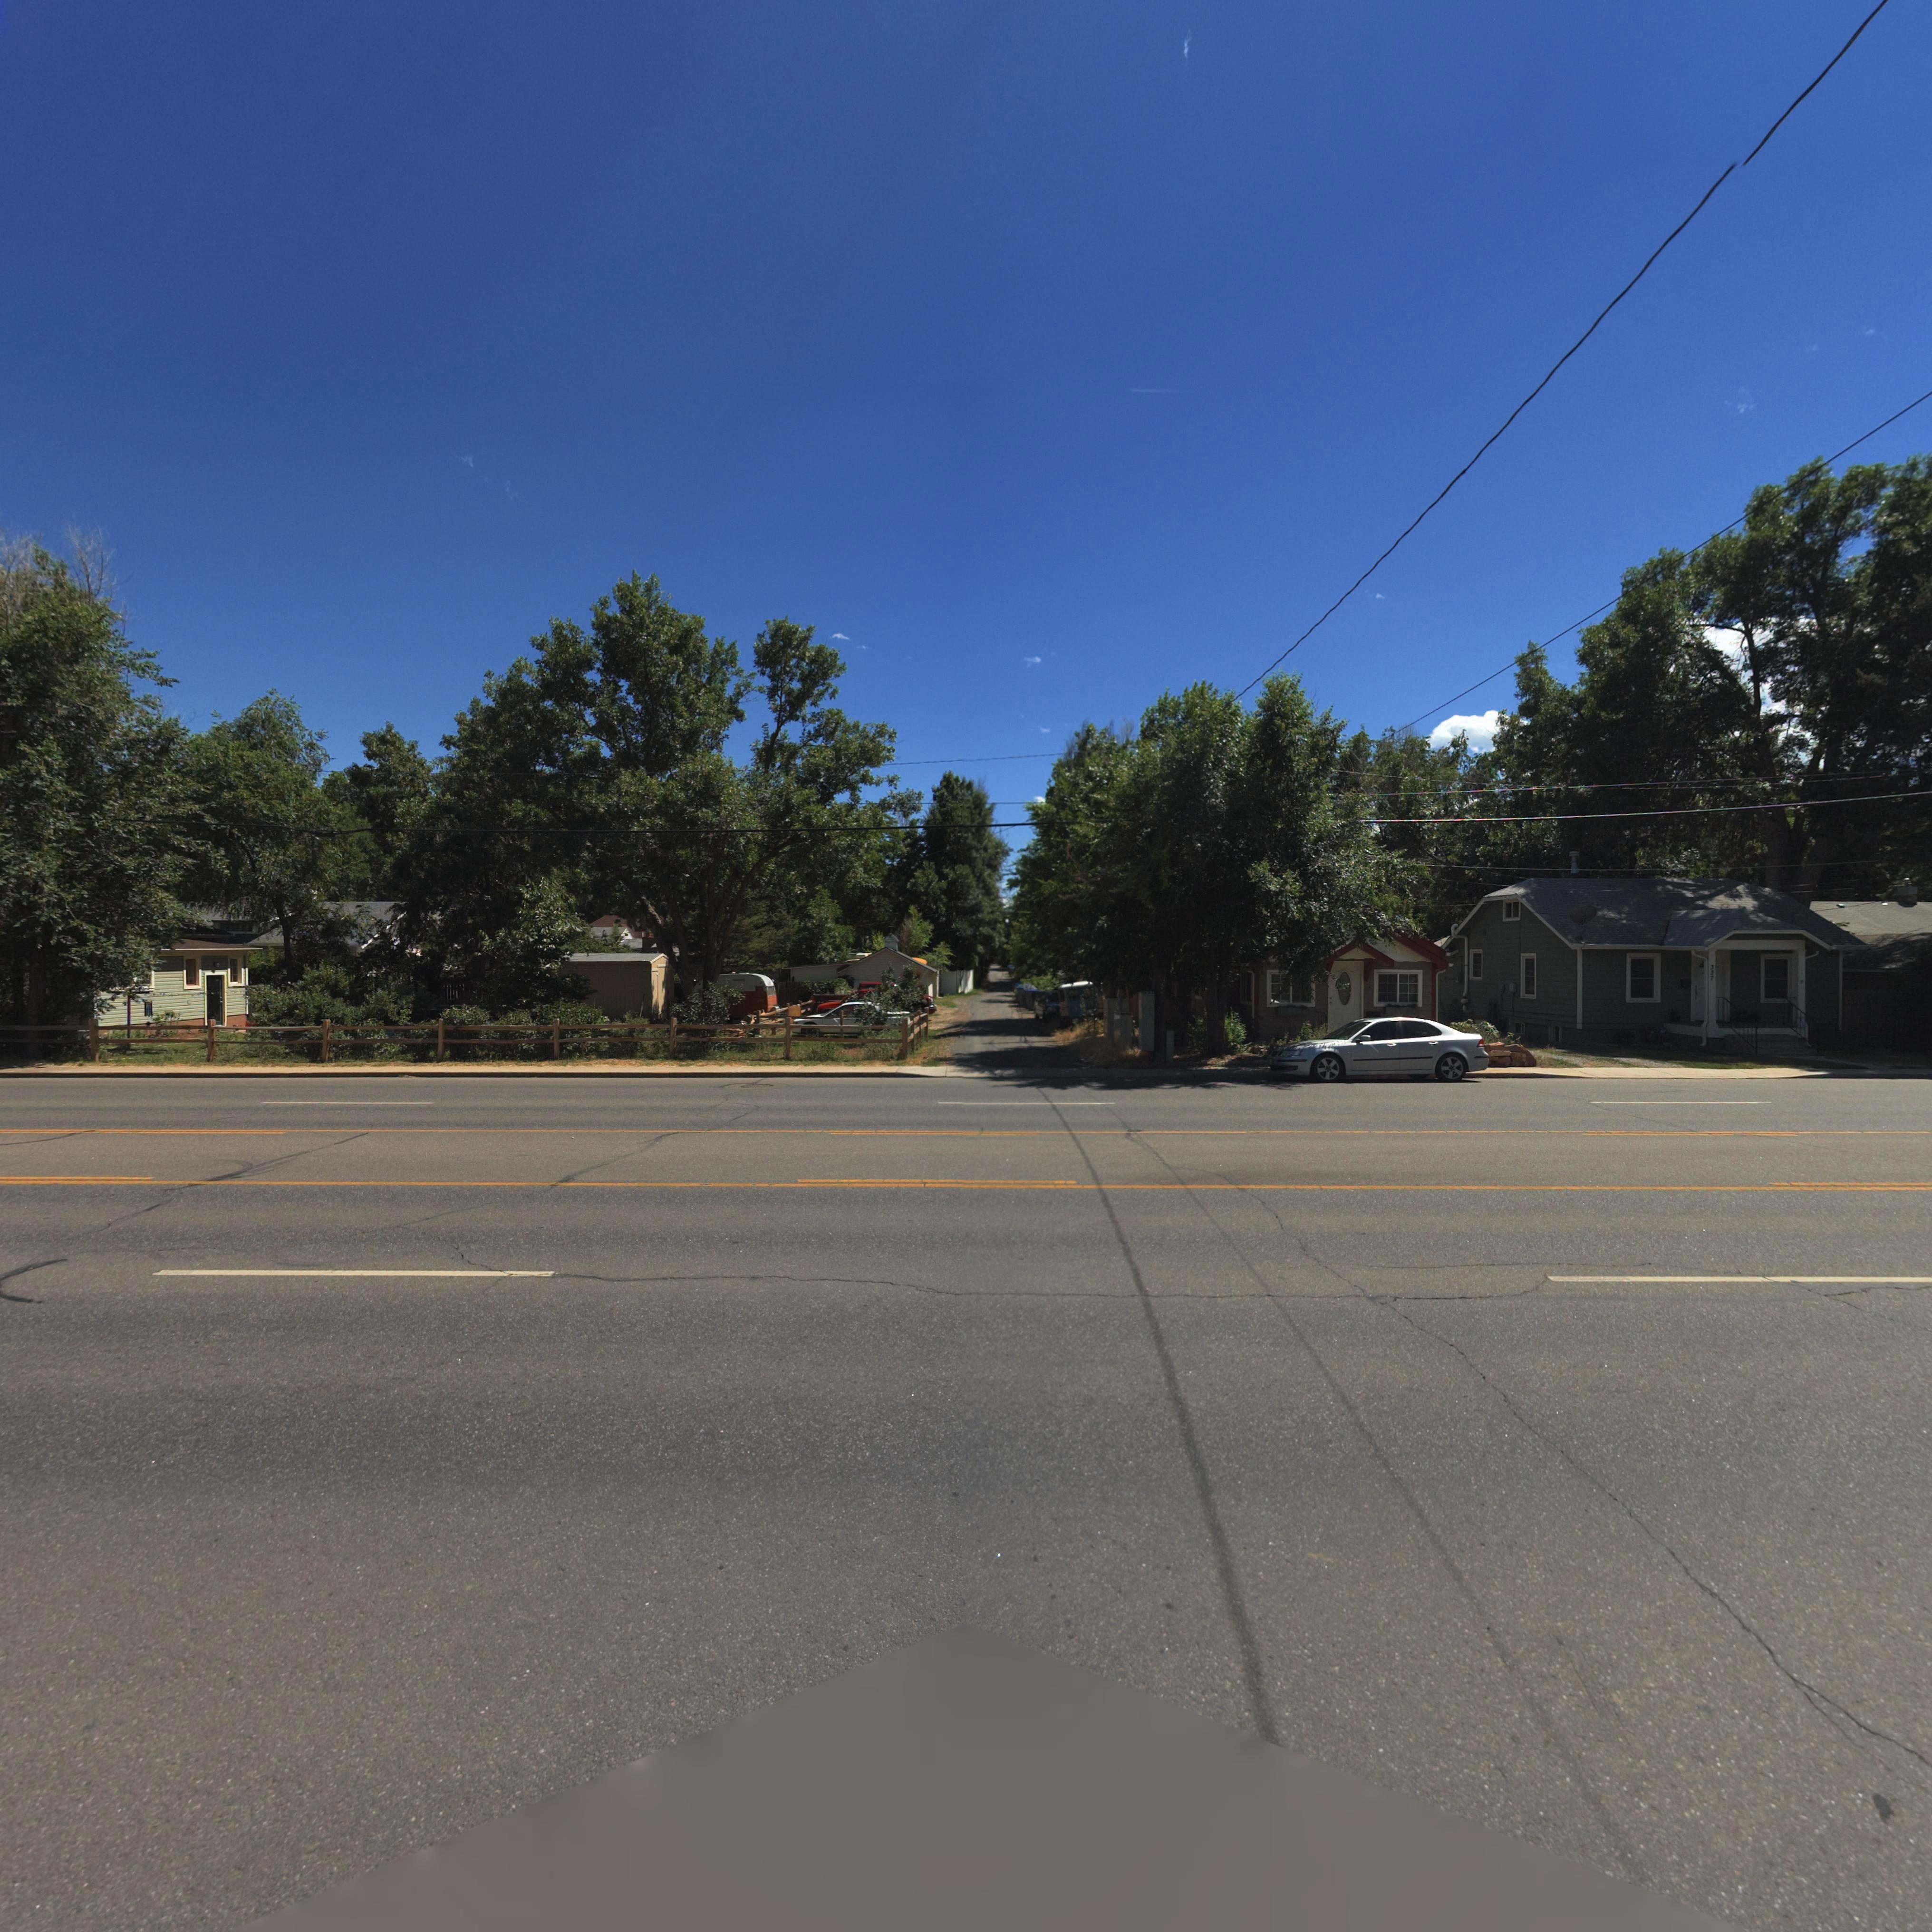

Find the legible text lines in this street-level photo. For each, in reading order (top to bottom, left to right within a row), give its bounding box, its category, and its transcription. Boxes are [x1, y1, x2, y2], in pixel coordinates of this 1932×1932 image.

[1710, 964, 1714, 981] StreetNumber: 337